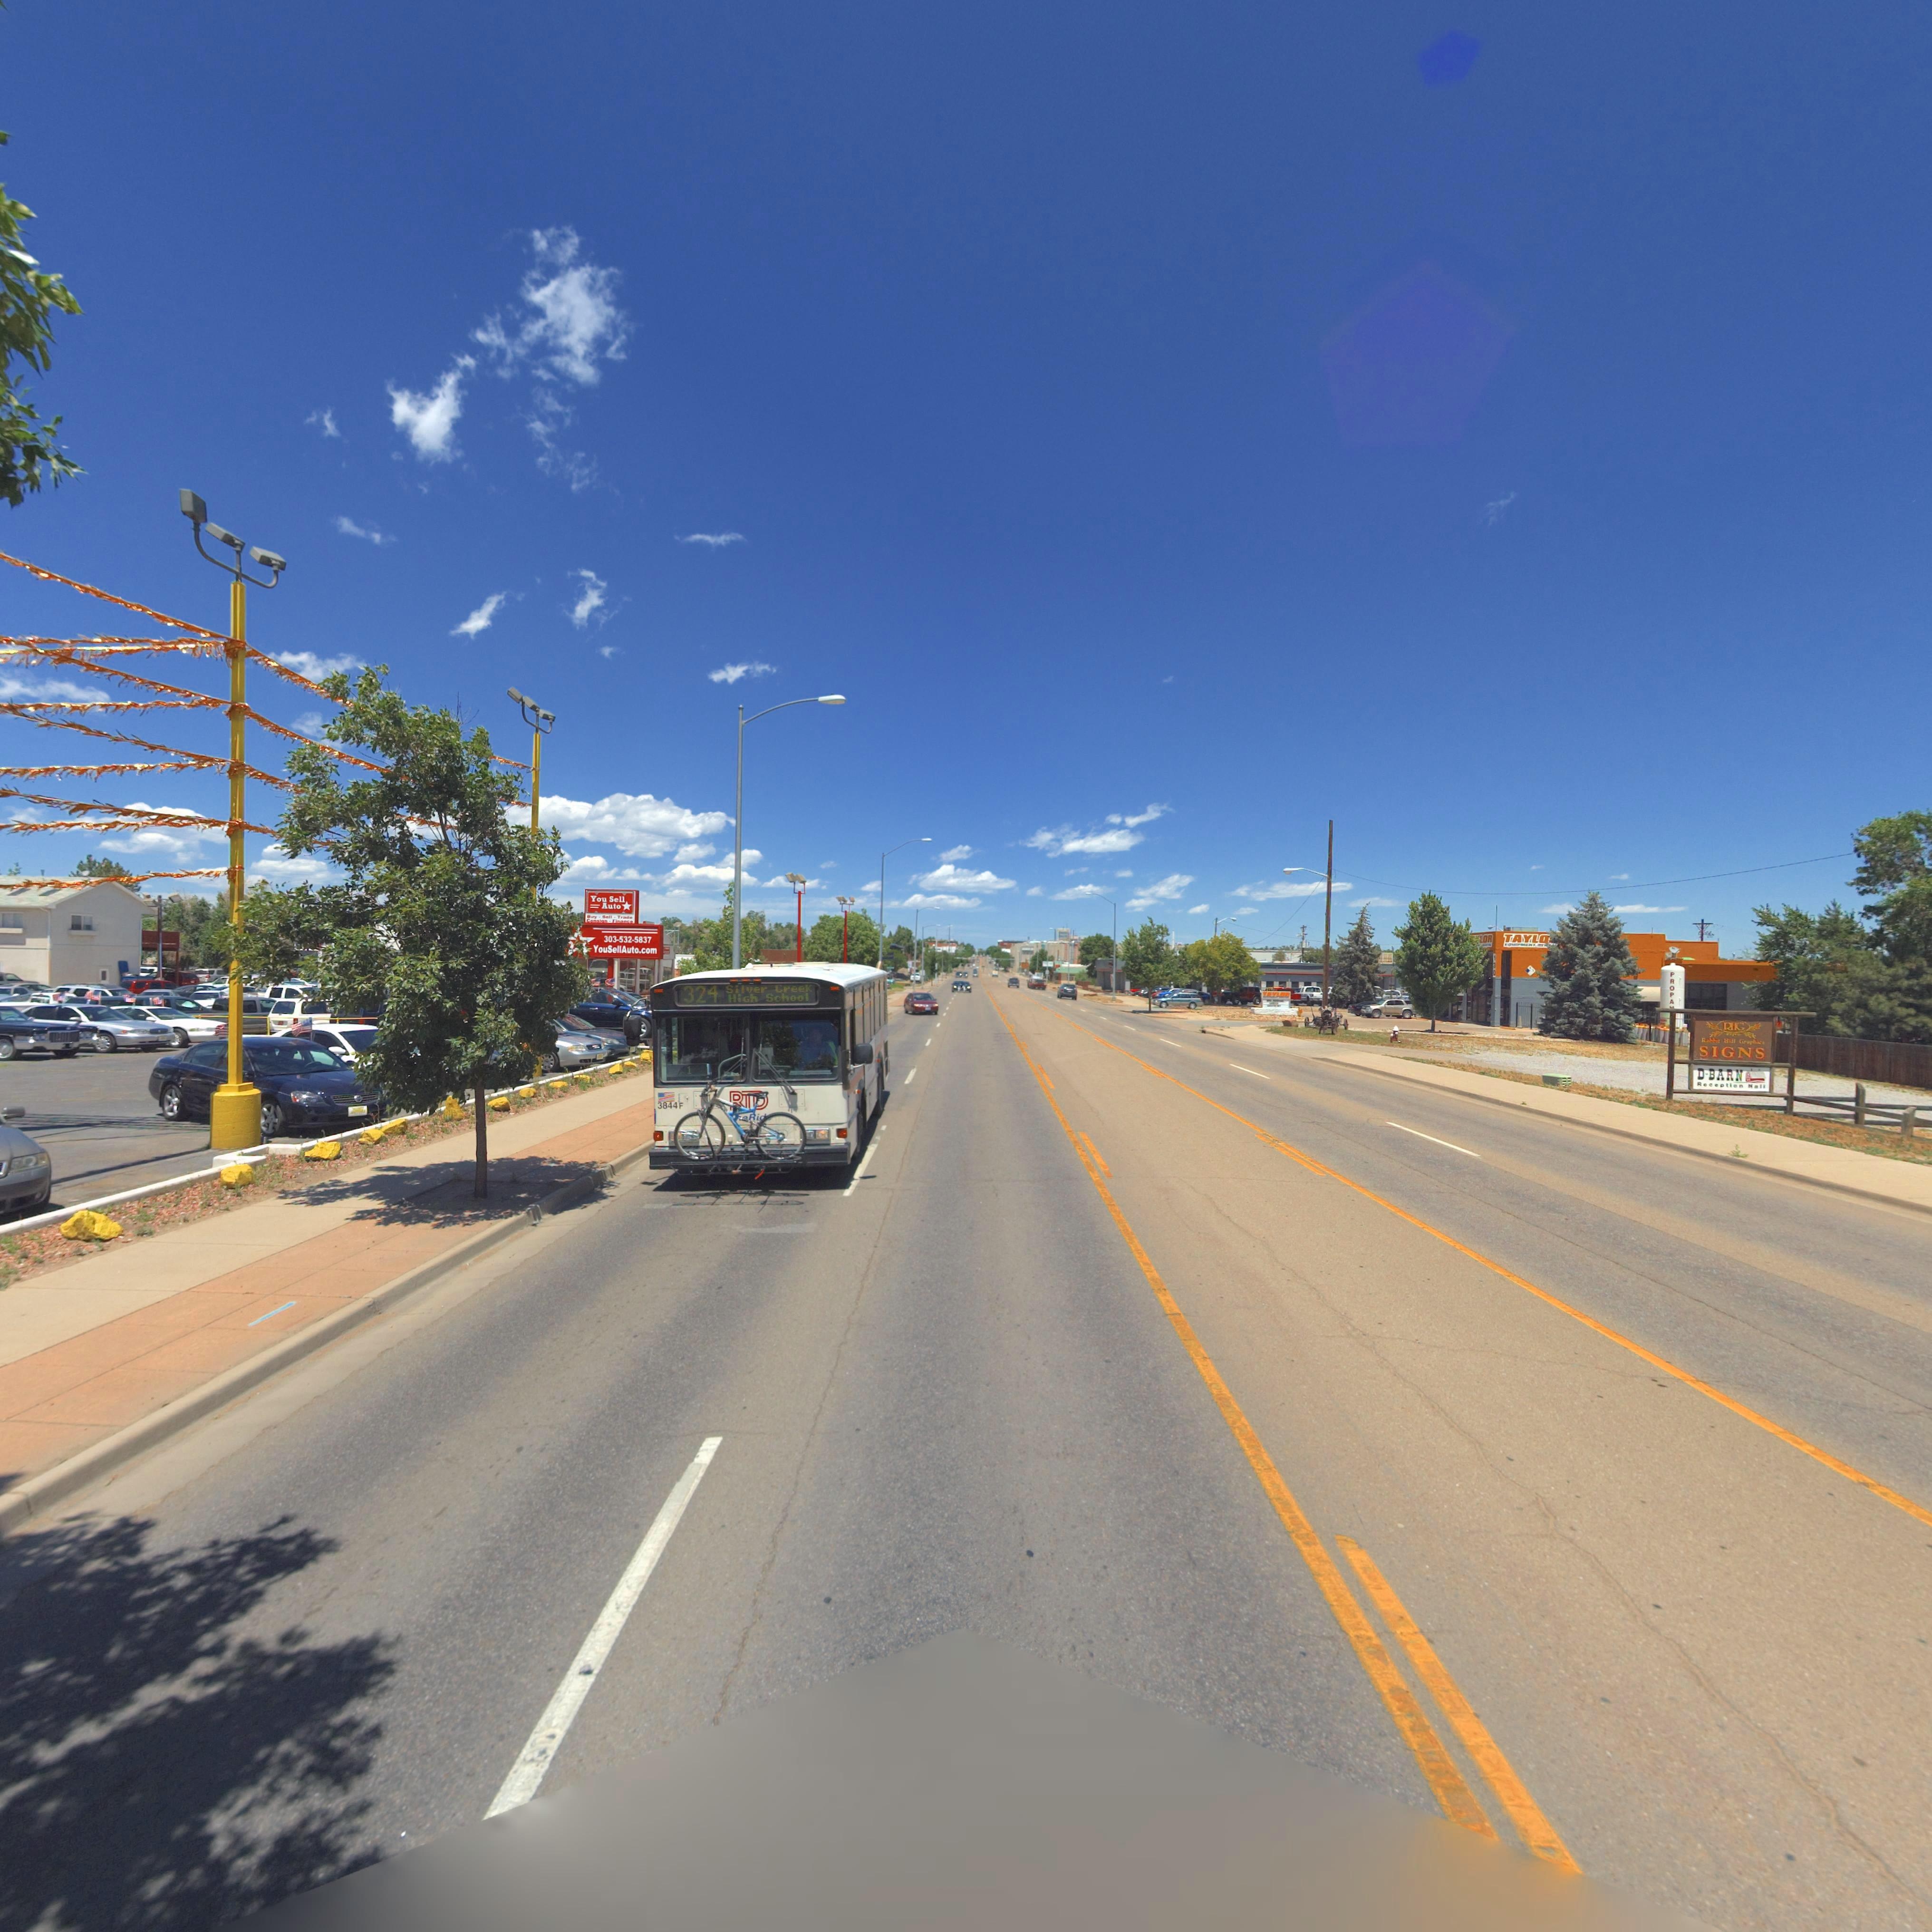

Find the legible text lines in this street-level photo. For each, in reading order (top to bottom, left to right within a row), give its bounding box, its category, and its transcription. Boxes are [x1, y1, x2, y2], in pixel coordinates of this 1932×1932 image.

[589, 894, 626, 902] BusinessName: You Sell
[600, 903, 621, 909] BusinessName: Auto
[1469, 934, 1492, 943] BusinessName: ***LOR
[1502, 933, 1551, 943] BusinessName: TAYLO*
[1503, 942, 1552, 947] BusinessName: EQUIPMENT R**
[1492, 954, 1496, 976] StreetNumber: 130
[1262, 991, 1290, 997] BusinessName: TAYLOR
[1723, 1021, 1745, 1031] BusinessName: RHG
[1700, 1037, 1765, 1046] BusinessName: Robbie Hill Graphics
[1698, 1045, 1766, 1060] BusinessName: SIGNS
[1696, 1067, 1743, 1082] BusinessName: D-BARN